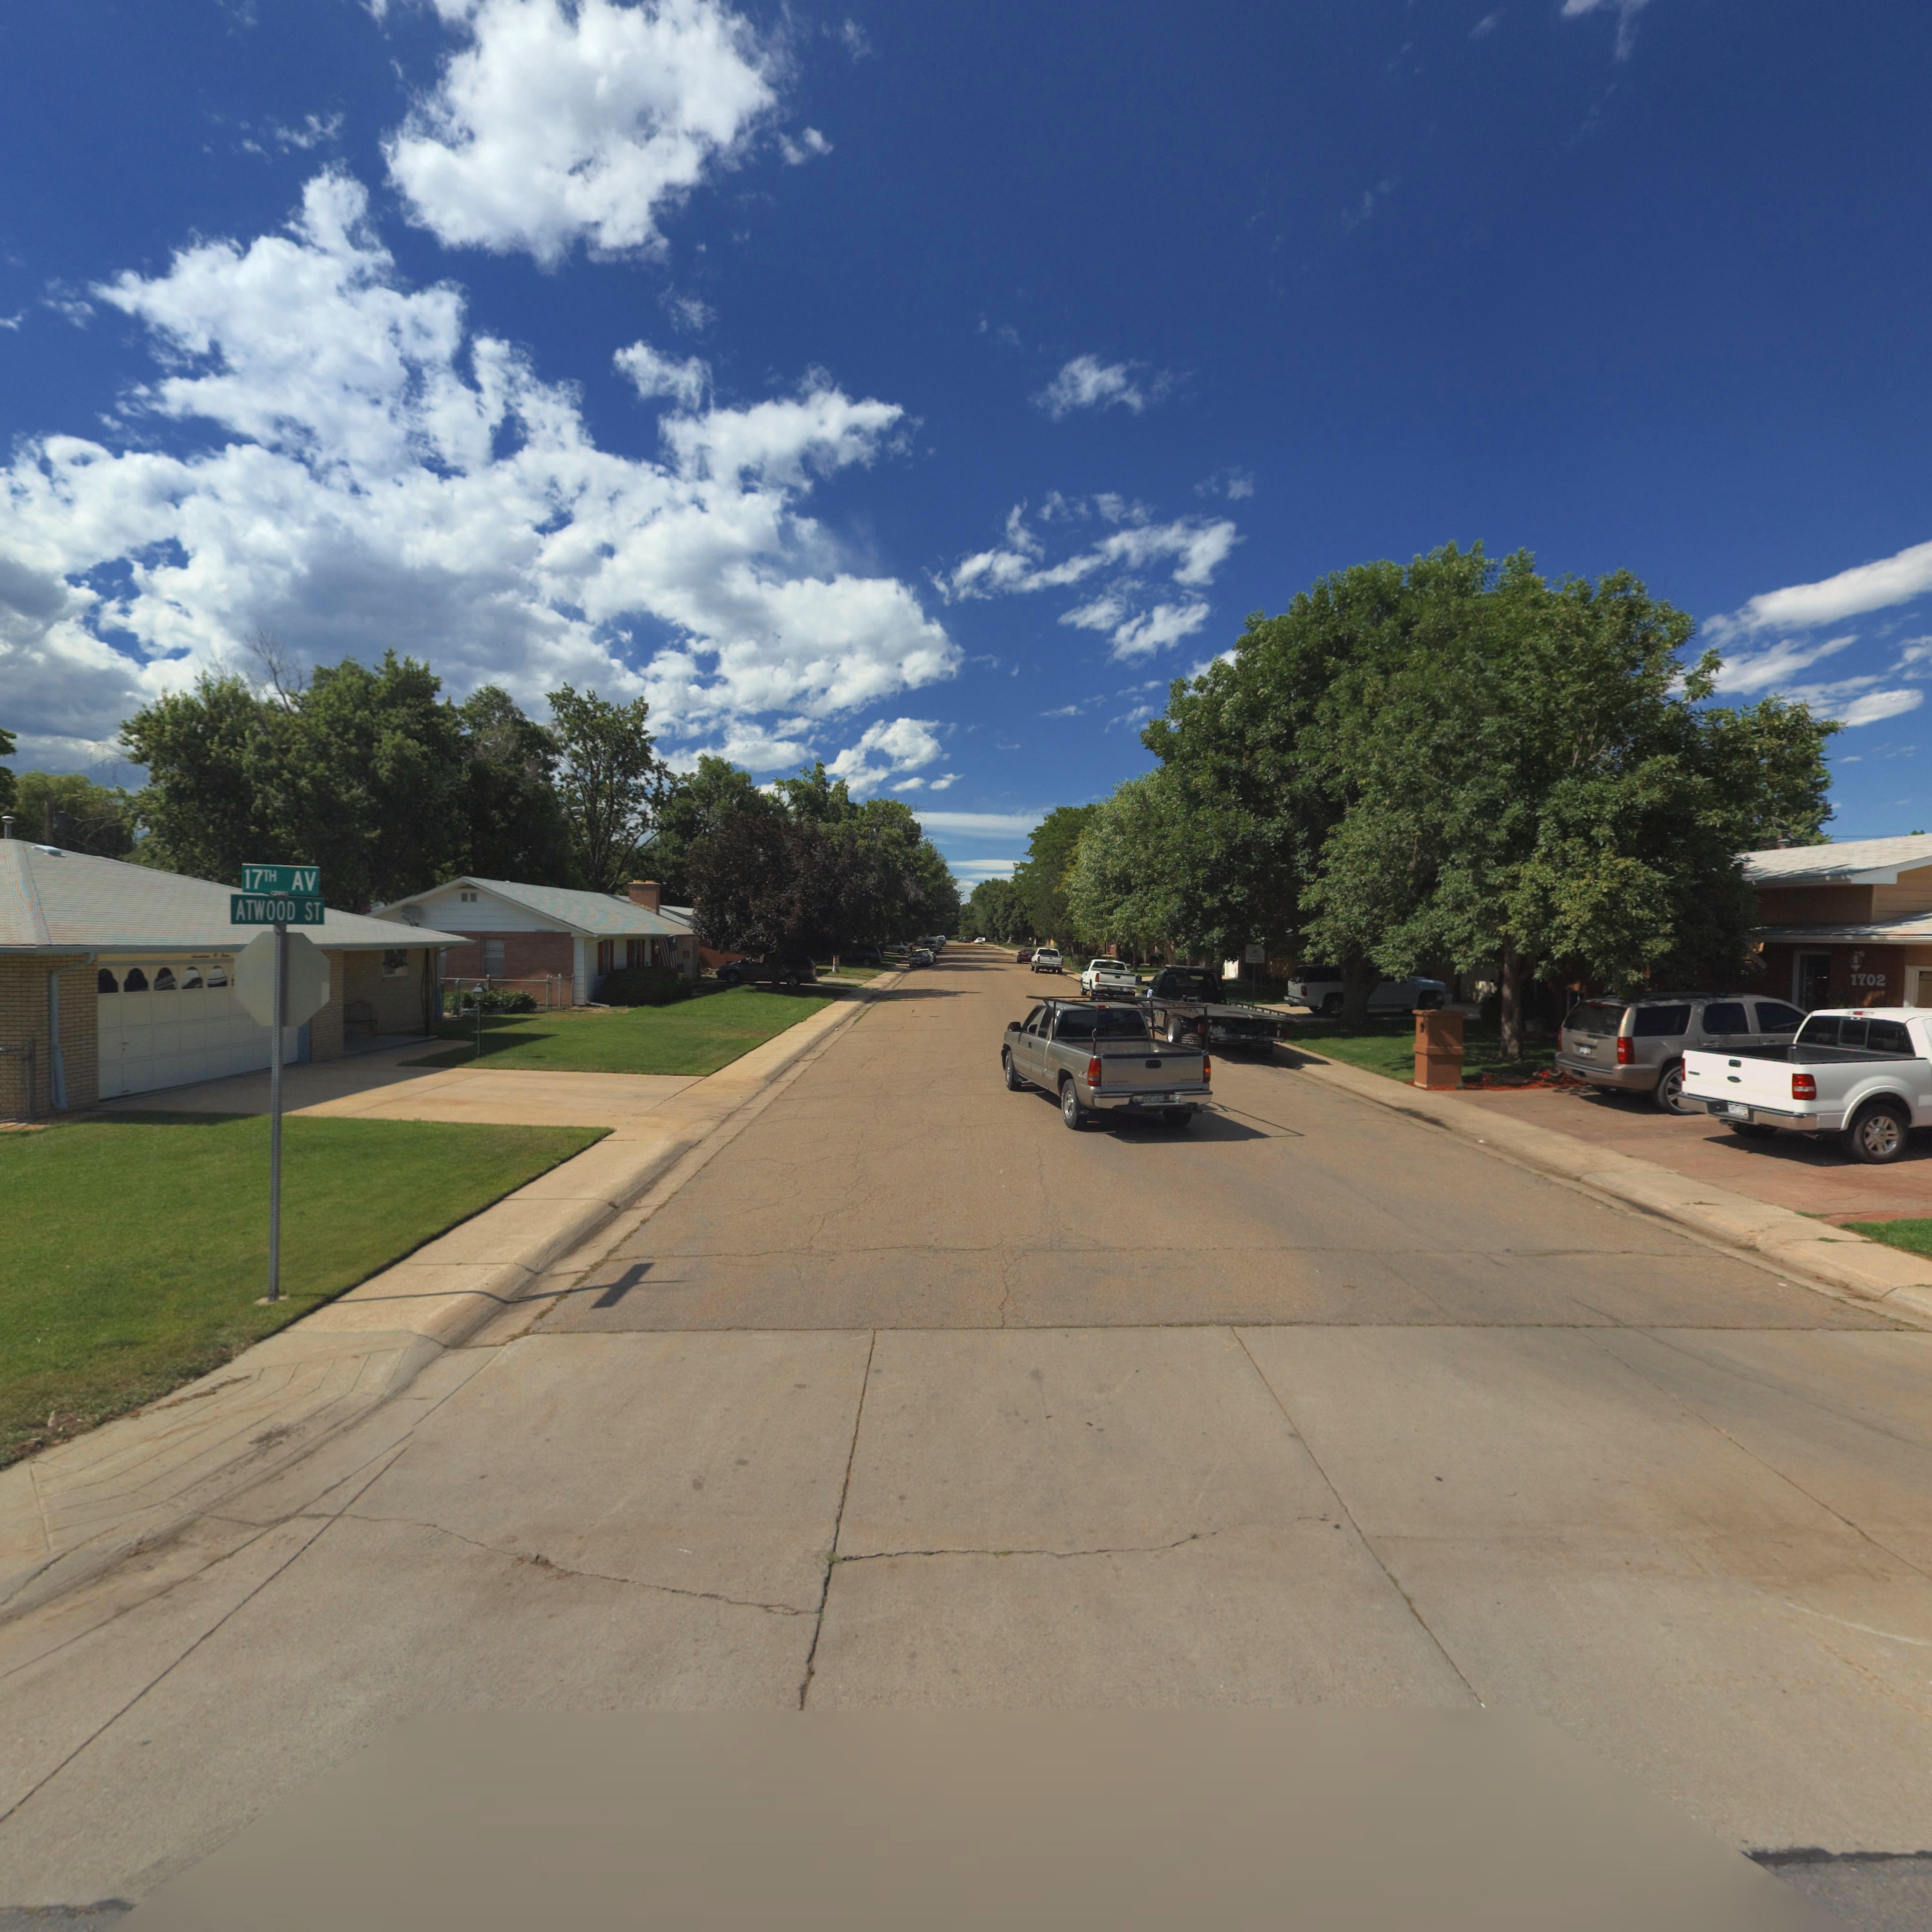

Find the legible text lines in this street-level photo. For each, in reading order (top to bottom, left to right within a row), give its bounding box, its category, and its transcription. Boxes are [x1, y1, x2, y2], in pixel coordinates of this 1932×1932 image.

[244, 869, 317, 891] StreetName: 17TH AV
[235, 898, 322, 921] StreetName: ATWOOD ST
[1850, 974, 1886, 986] StreetNumber: 1702